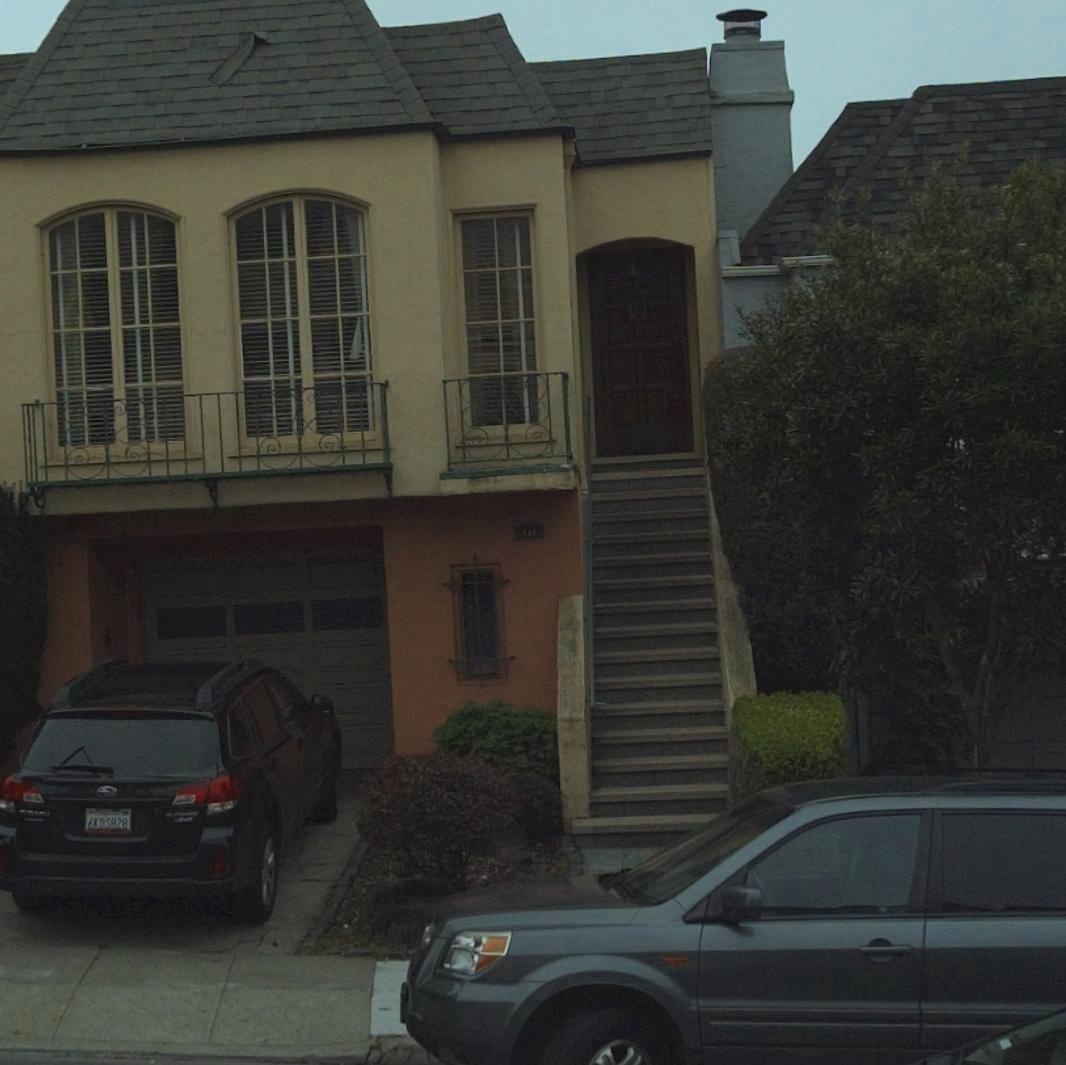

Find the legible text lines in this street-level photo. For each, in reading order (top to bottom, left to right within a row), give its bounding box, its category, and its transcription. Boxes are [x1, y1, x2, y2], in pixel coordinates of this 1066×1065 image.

[521, 527, 539, 537] StreetNumber: 117
[87, 816, 130, 831] None: 6KD5828